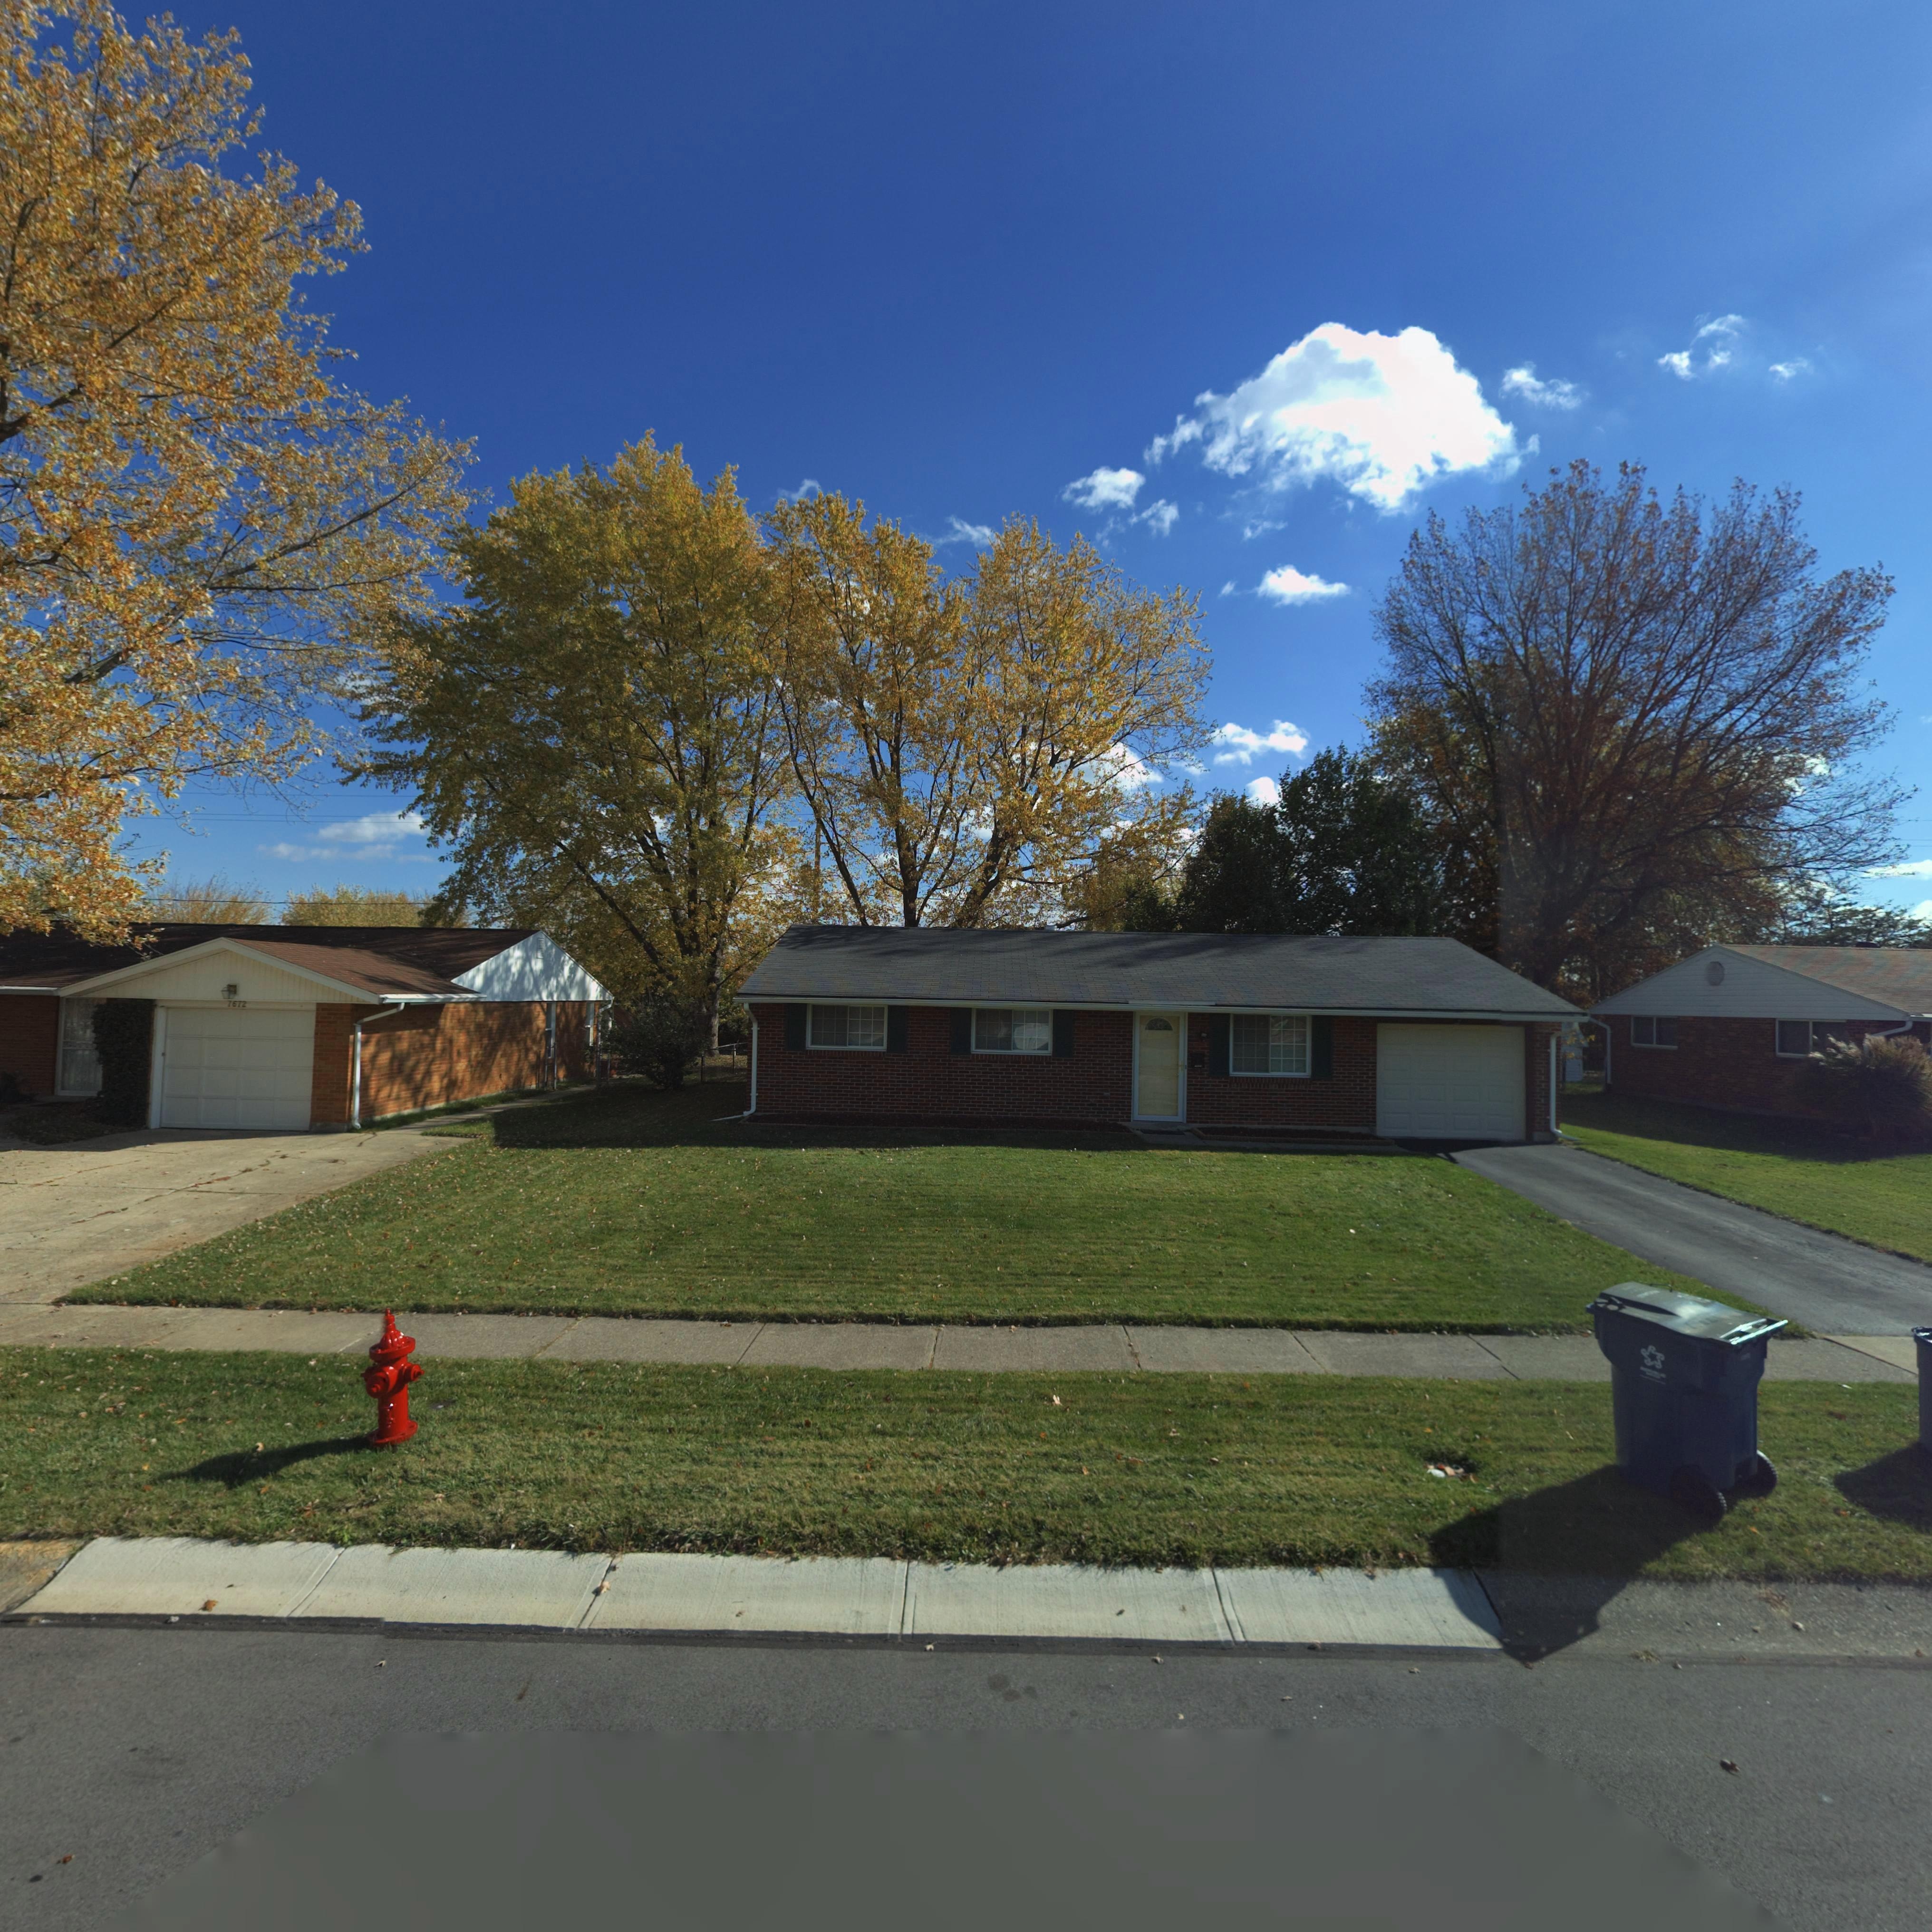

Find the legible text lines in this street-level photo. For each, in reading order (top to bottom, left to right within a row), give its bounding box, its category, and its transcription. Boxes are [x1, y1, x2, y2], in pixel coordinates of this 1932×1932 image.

[226, 999, 248, 1009] StreetNumber: 7672